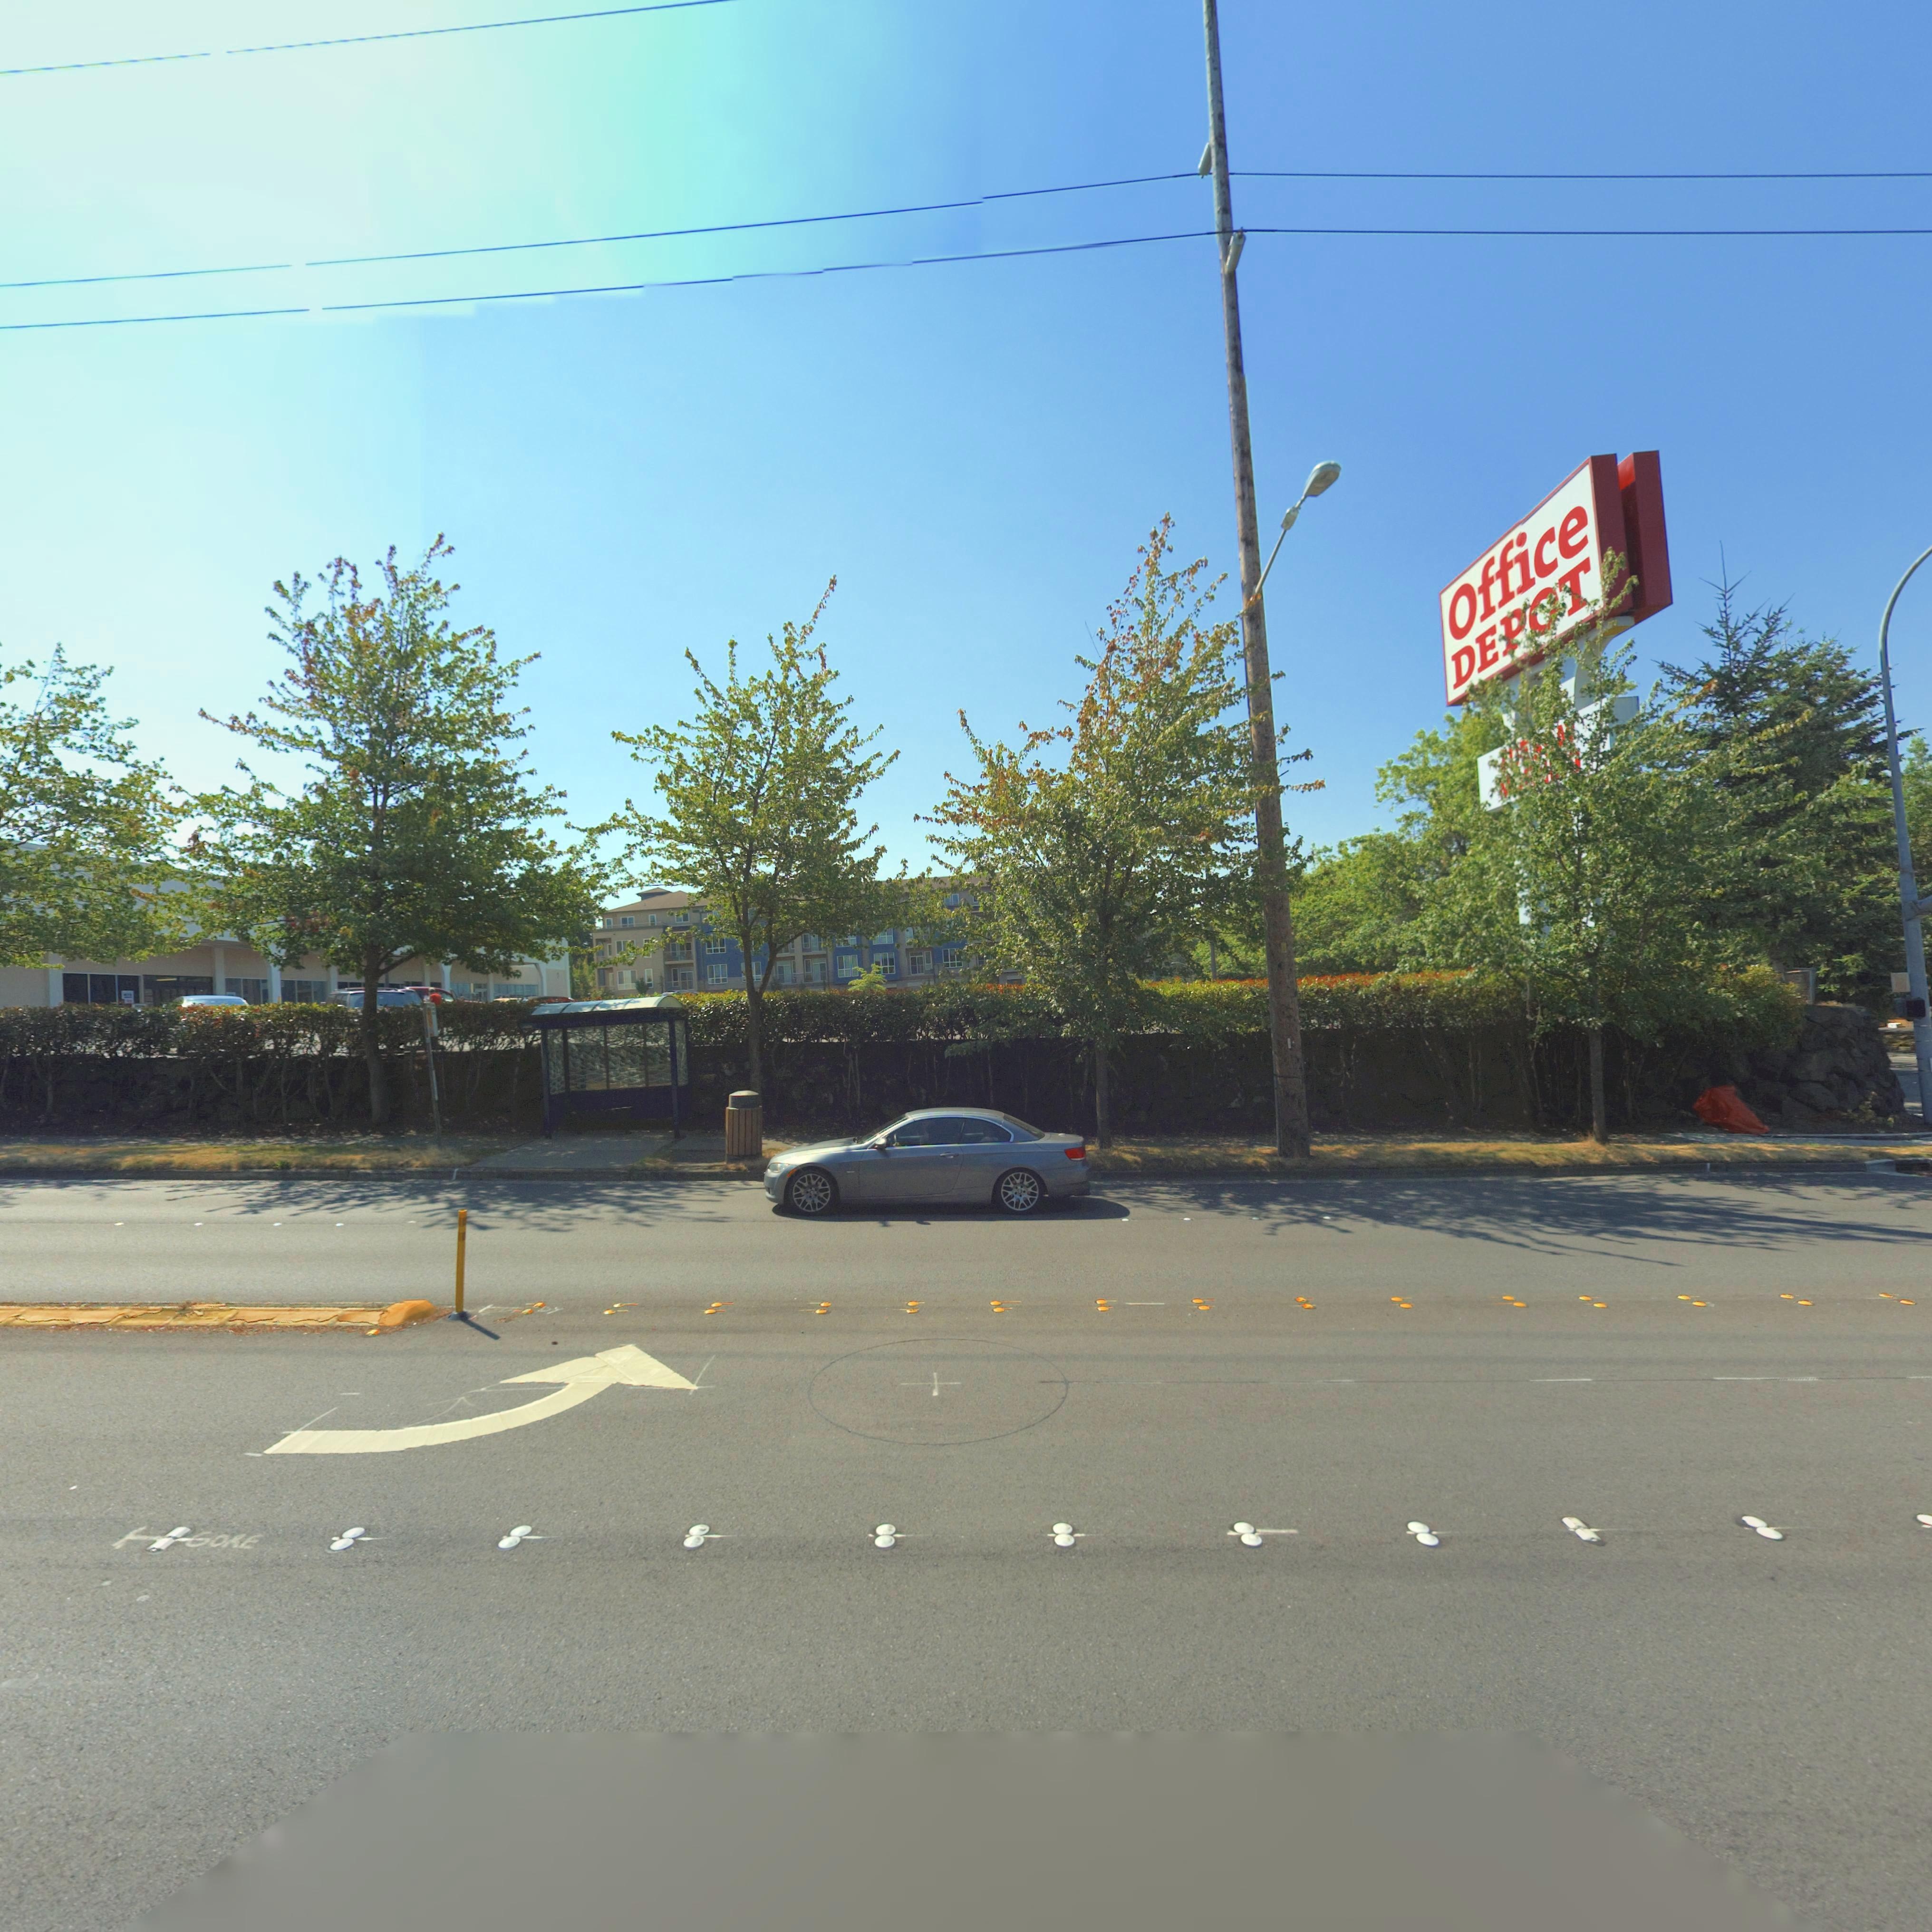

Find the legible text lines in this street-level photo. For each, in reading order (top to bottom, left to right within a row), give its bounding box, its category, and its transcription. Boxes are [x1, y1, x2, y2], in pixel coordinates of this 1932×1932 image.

[1446, 504, 1592, 643] BusinessName: Office
[1449, 553, 1599, 691] BusinessName: DE***